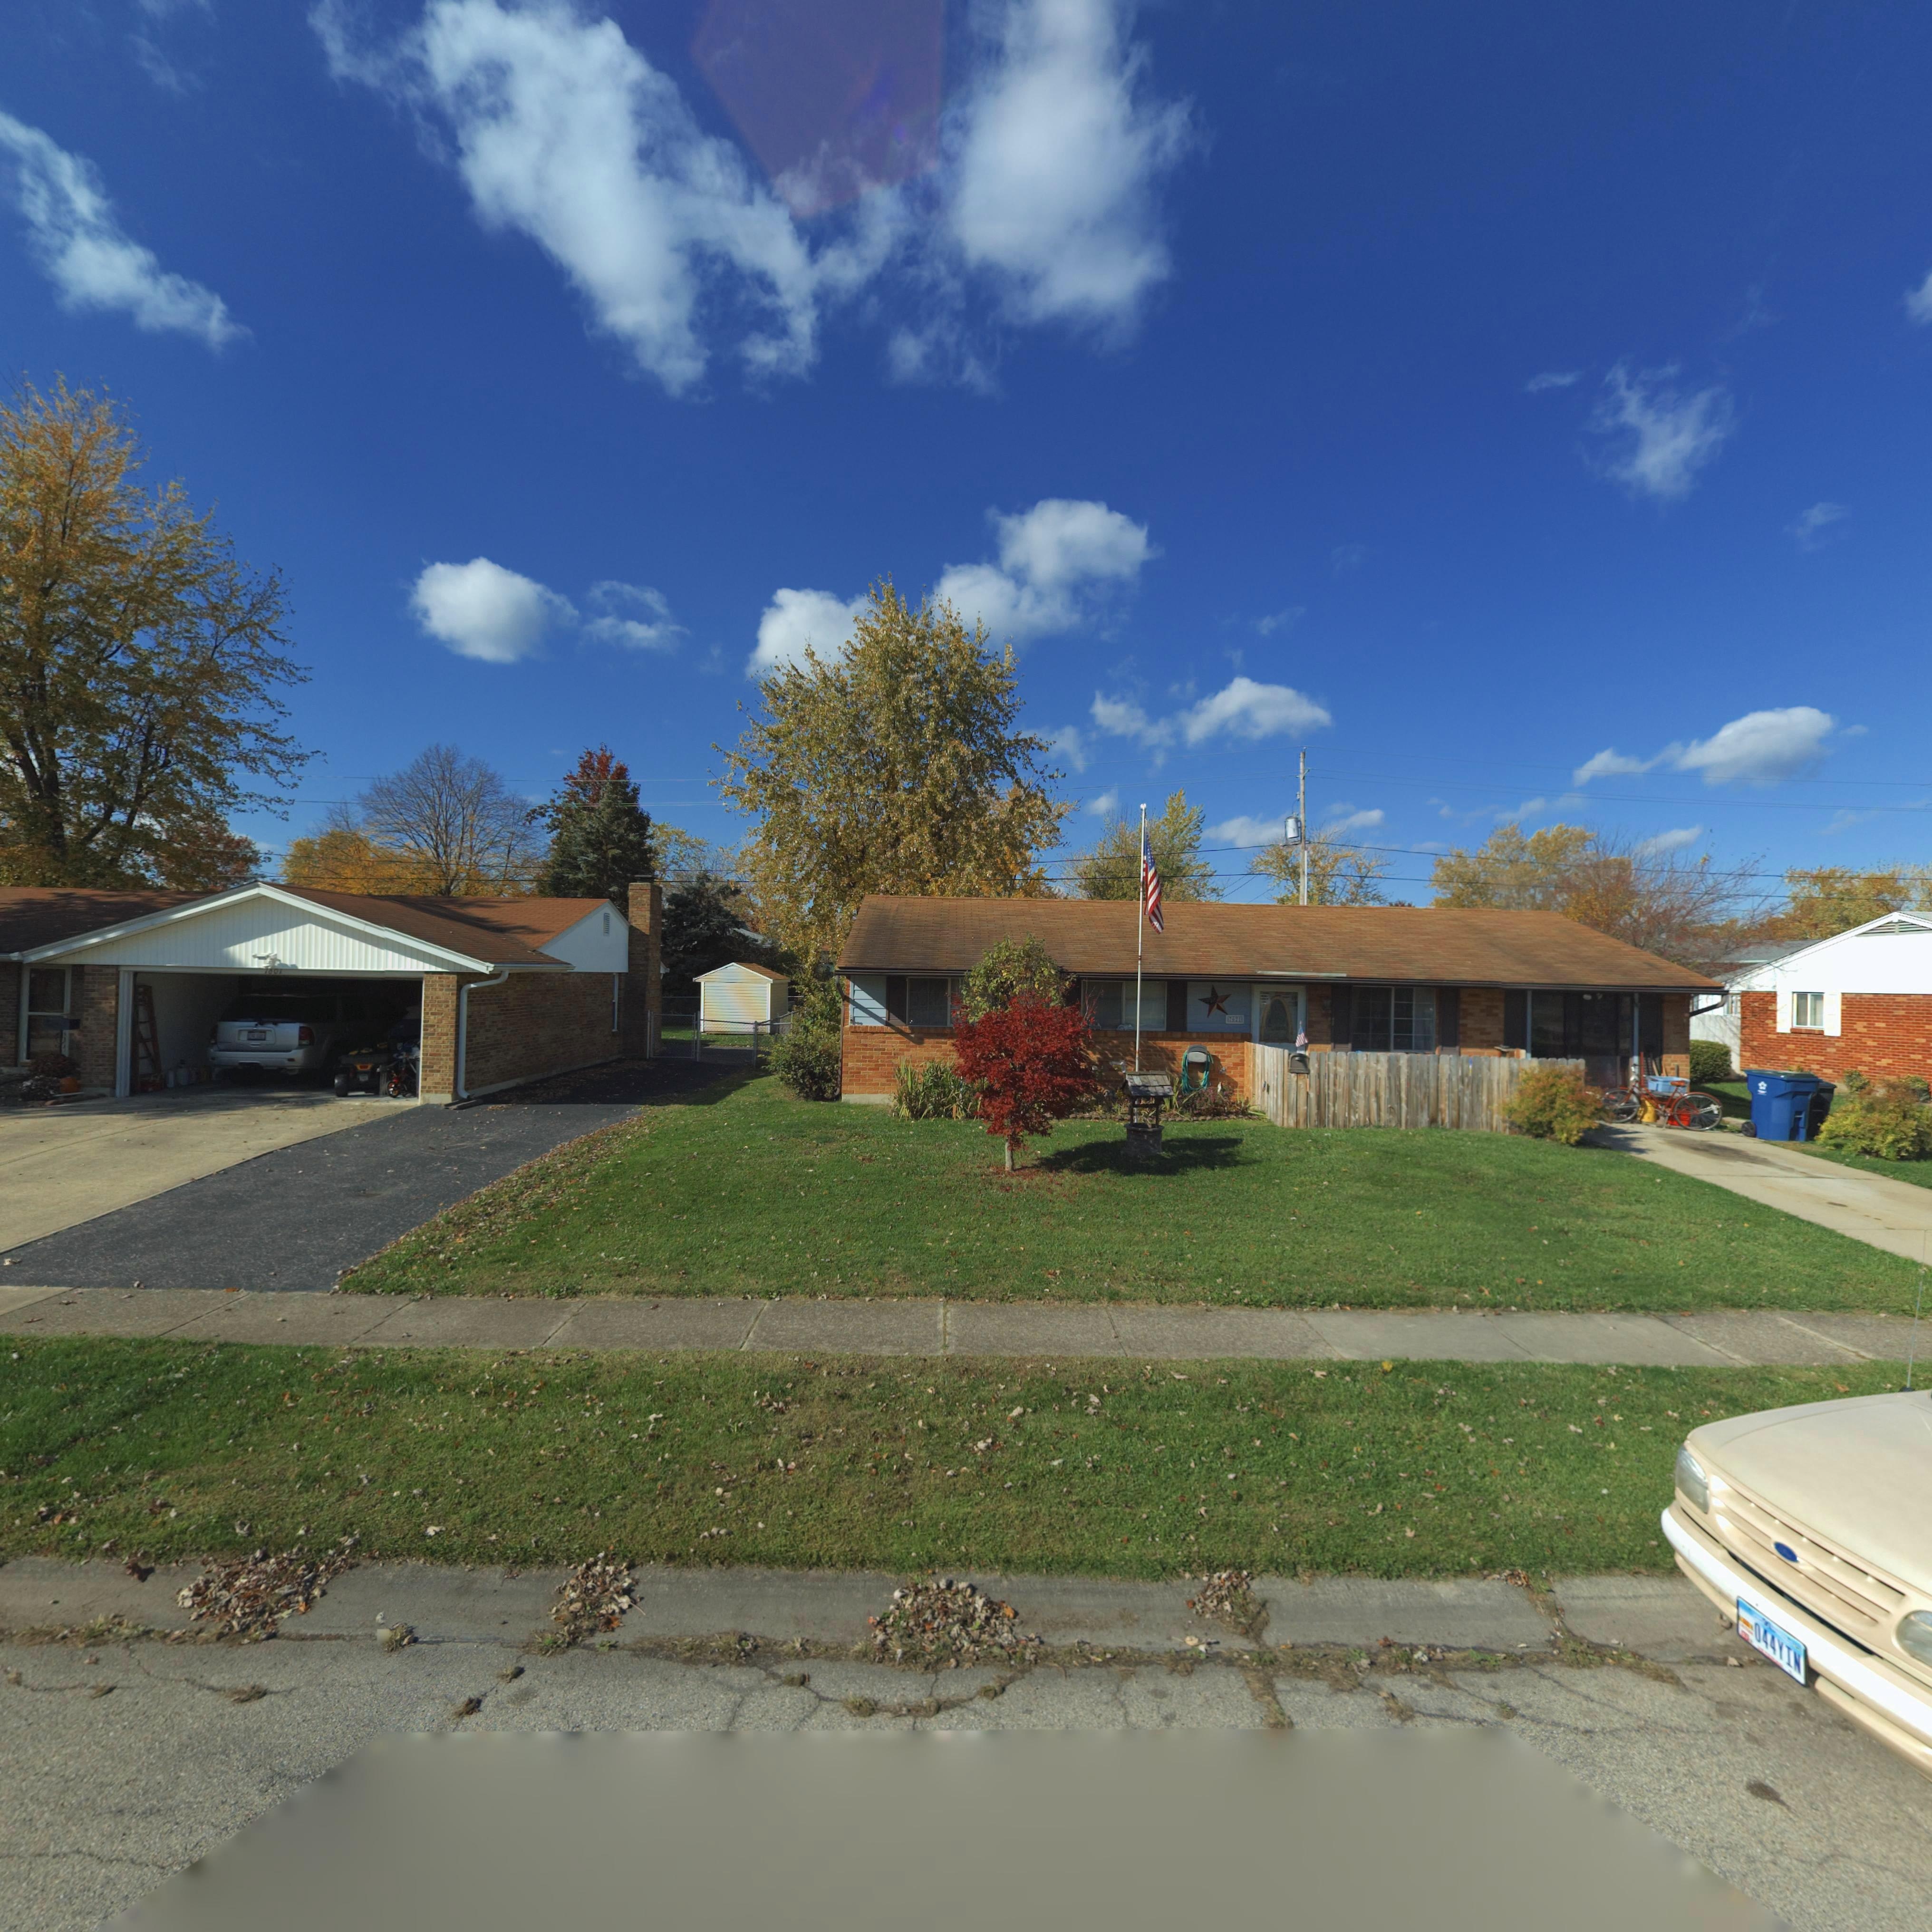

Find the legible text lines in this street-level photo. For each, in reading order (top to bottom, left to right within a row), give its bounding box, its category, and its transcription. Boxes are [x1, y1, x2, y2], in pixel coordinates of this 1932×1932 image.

[263, 967, 284, 976] StreetNumber: **0*
[1228, 1015, 1242, 1024] StreetNumber: 76*1